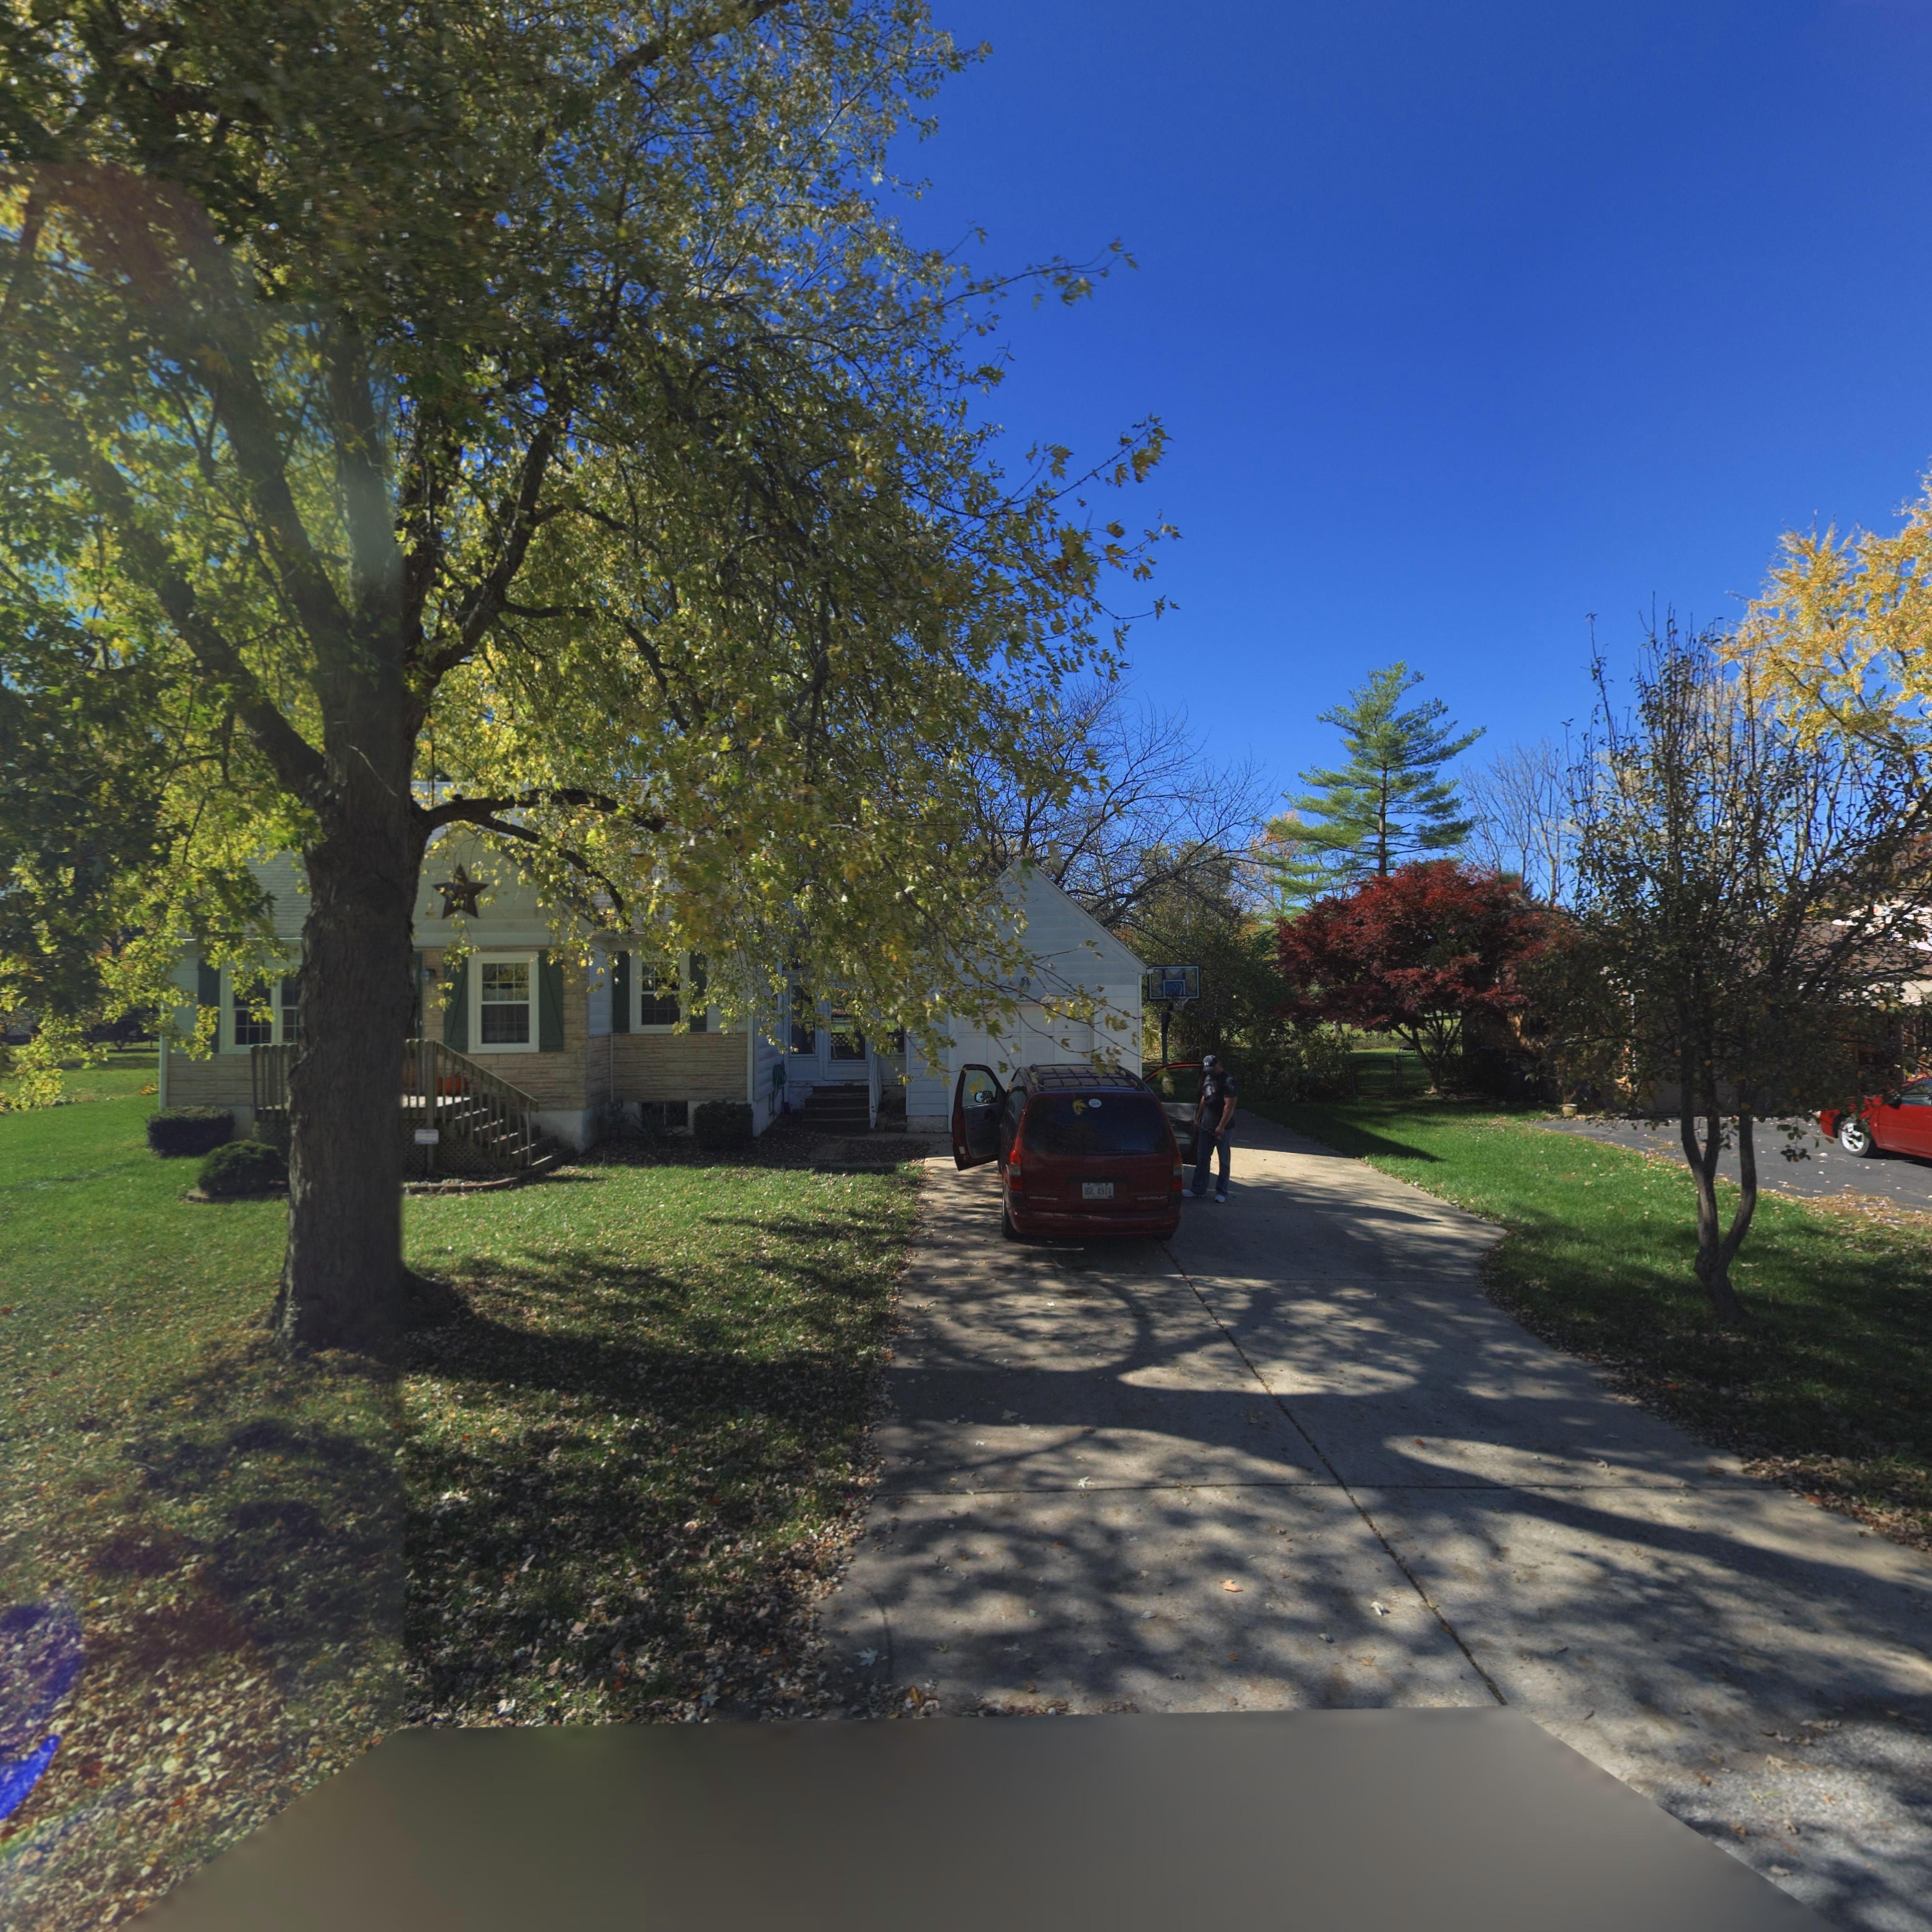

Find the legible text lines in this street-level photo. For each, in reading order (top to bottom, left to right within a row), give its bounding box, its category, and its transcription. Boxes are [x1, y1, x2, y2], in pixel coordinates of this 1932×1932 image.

[1013, 997, 1029, 1003] StreetNumber: Hund